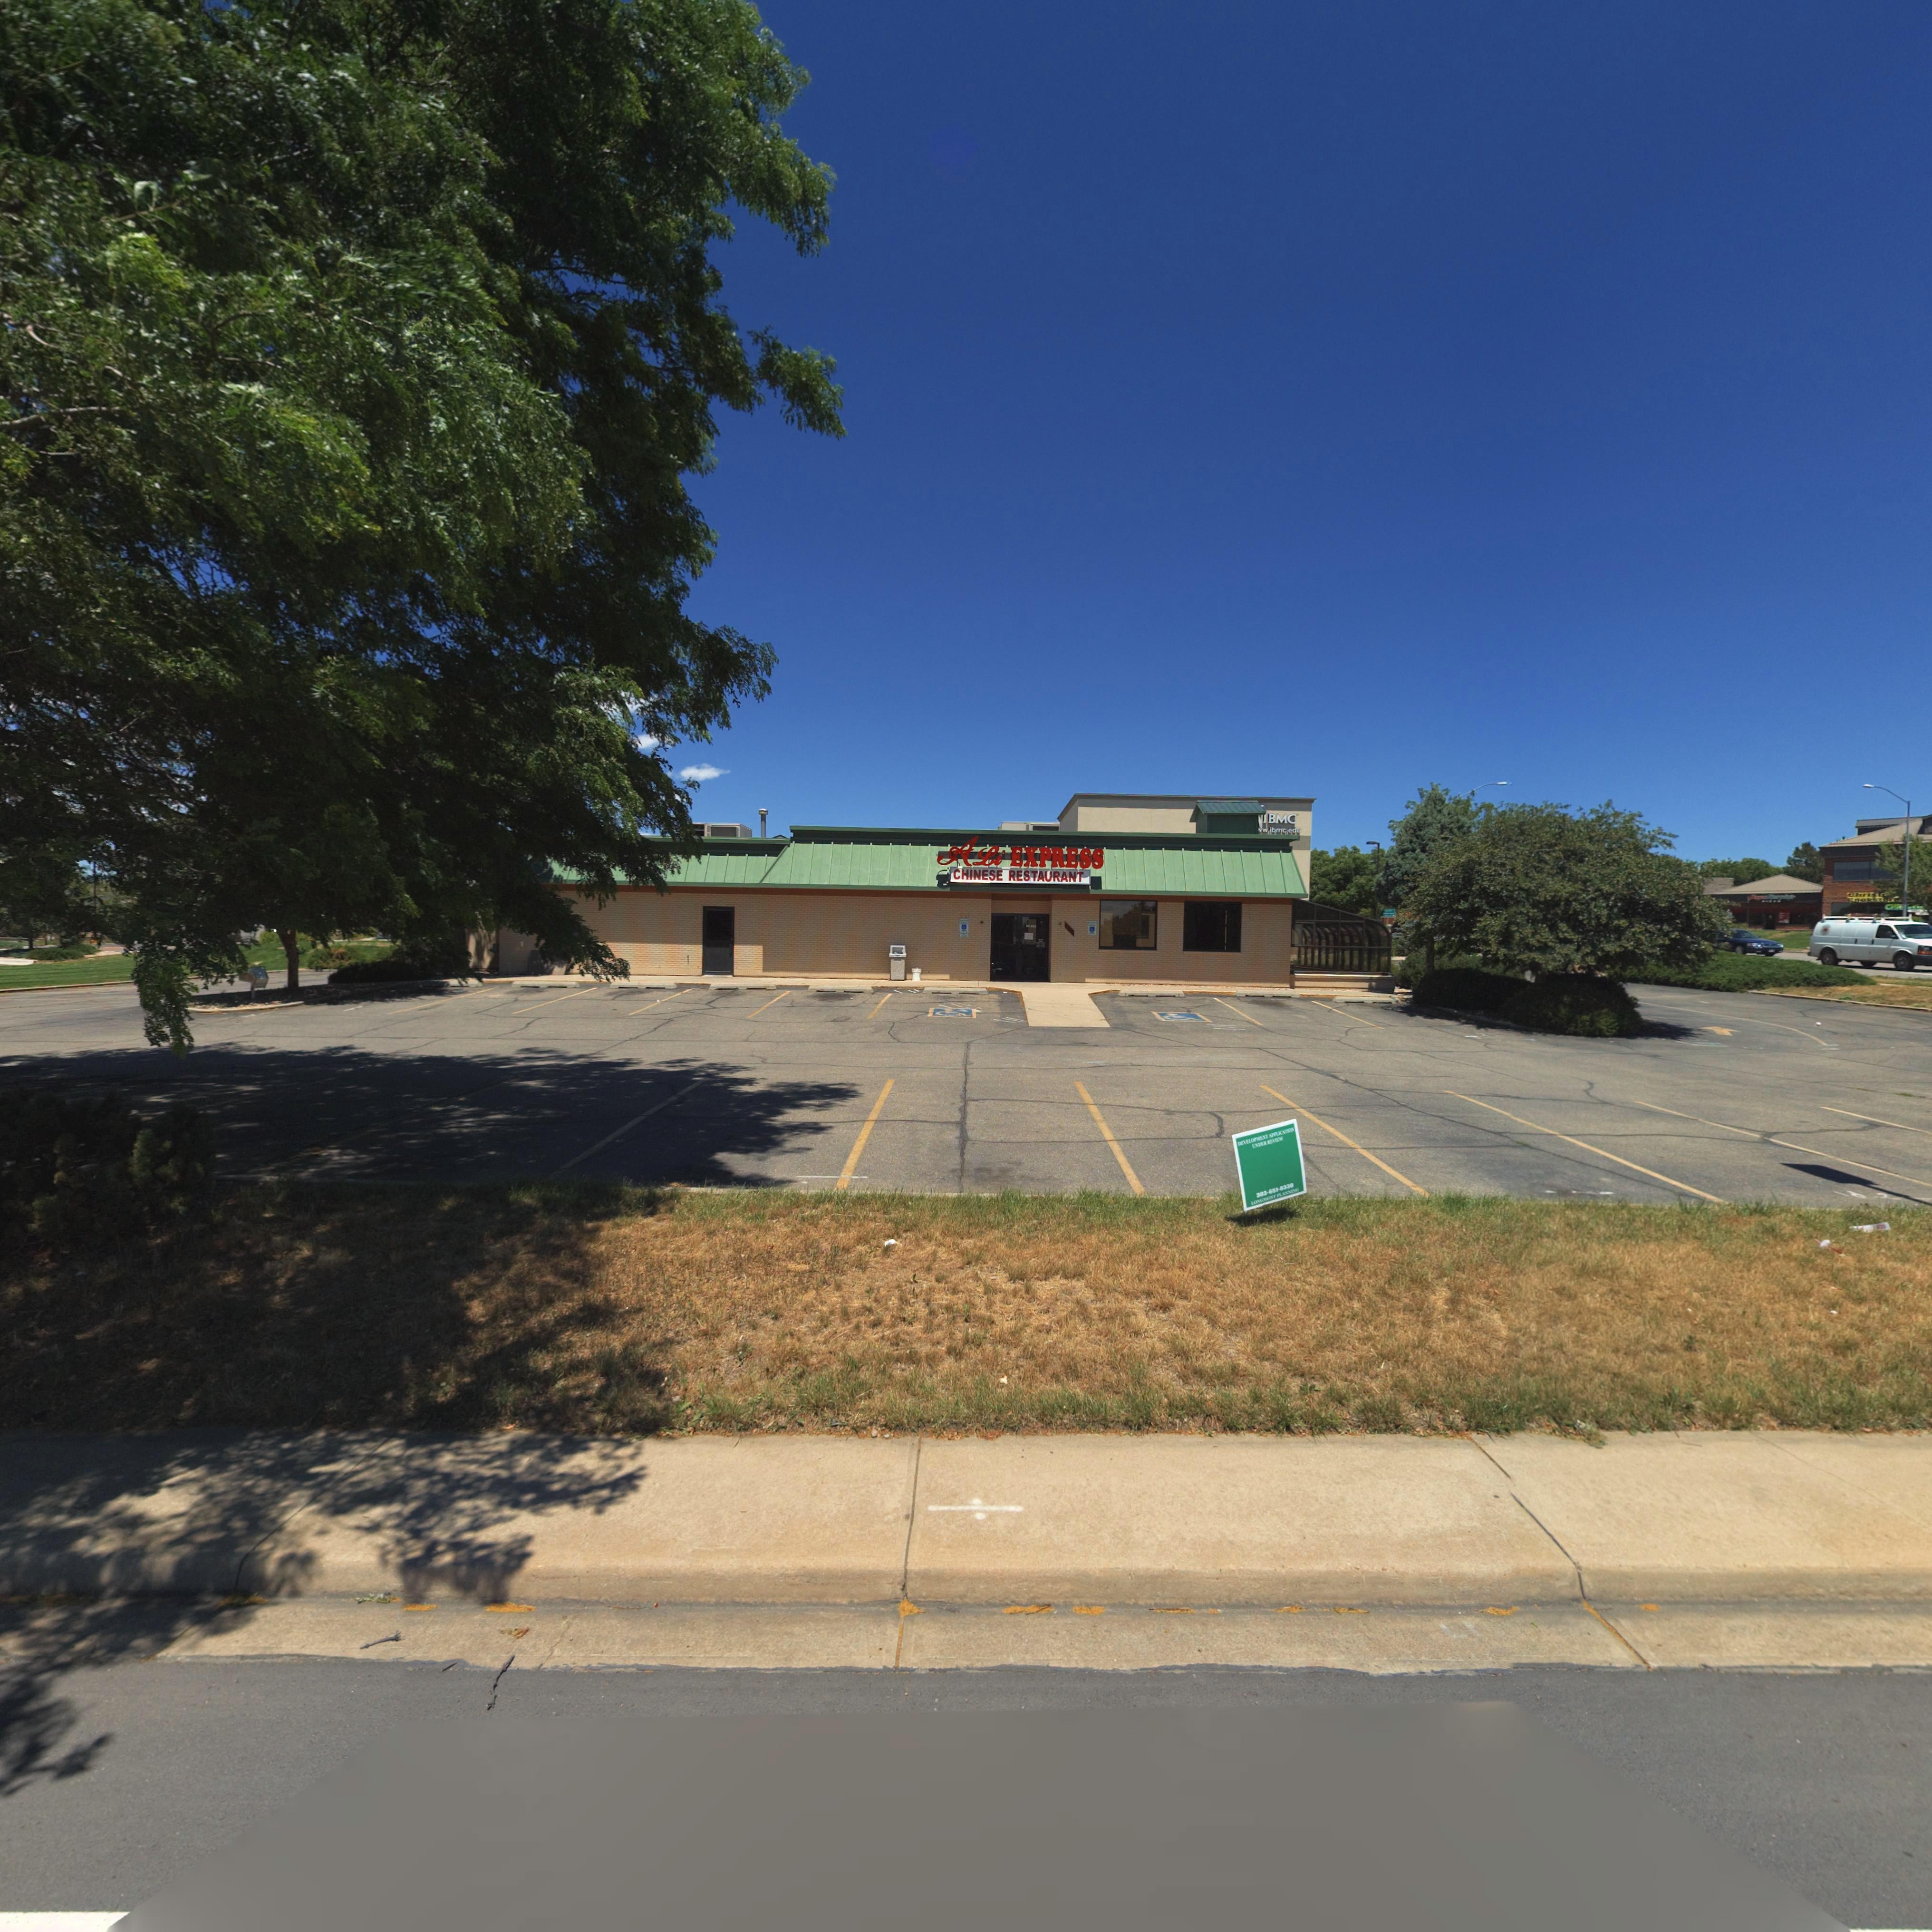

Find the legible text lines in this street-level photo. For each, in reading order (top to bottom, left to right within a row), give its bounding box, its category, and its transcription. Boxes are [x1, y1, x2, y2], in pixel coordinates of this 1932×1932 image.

[1262, 812, 1296, 824] BusinessName: IBMC
[936, 835, 1006, 867] BusinessName: Ali
[1010, 846, 1104, 869] BusinessName: EXPRESS
[953, 868, 1083, 882] BusinessName: CHINESE RESTAURANT